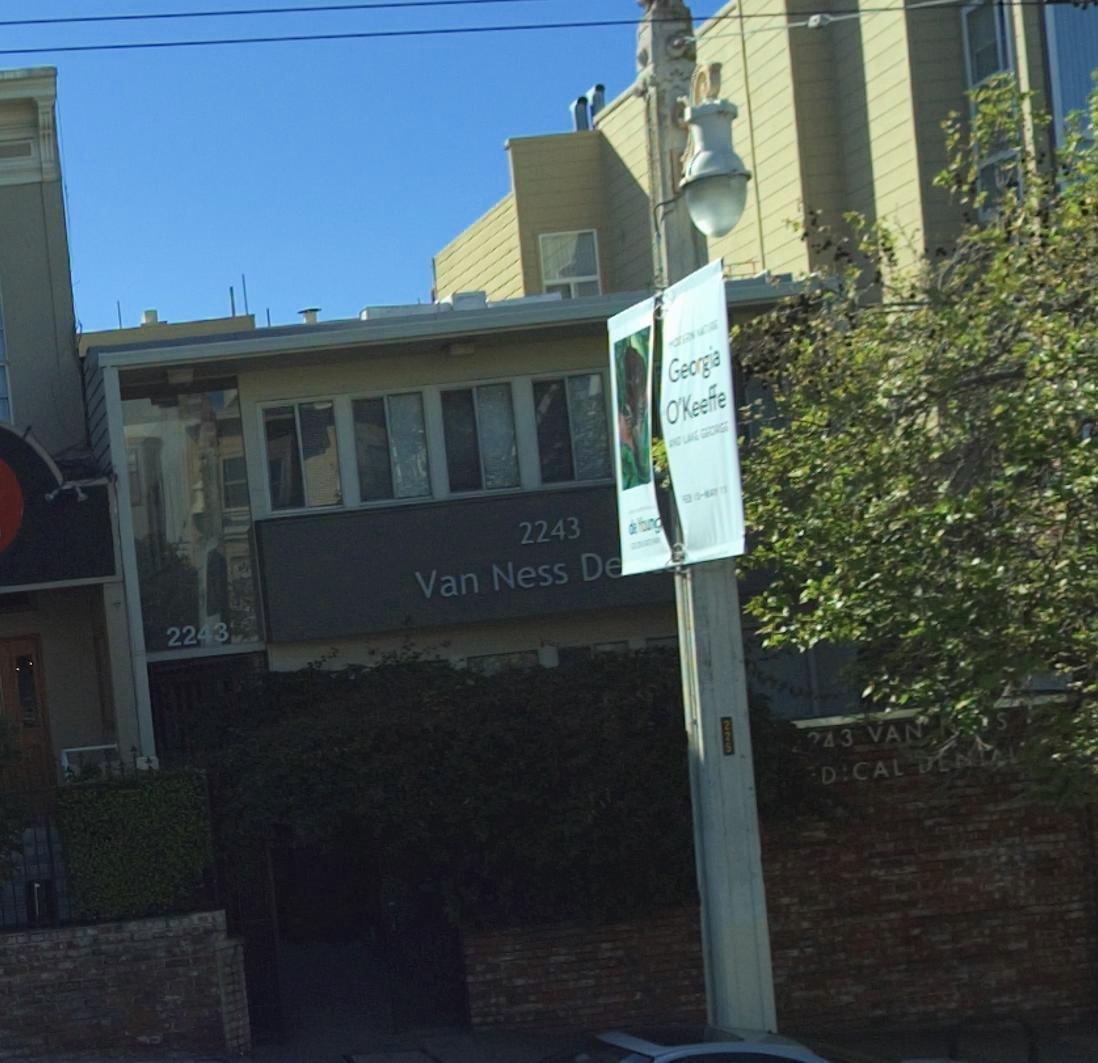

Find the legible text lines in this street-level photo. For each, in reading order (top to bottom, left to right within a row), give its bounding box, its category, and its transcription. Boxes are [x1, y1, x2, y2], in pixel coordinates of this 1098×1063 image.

[666, 344, 722, 384] None: Georgia
[665, 381, 729, 428] None: O'Keeffe
[517, 513, 583, 547] StreetNumber: 2243
[408, 550, 605, 602] BusinessName: Van Ness D
[164, 621, 230, 647] StreetNumber: 2243
[723, 719, 734, 755] None: 225
[839, 726, 854, 750] StreetNumber: 3
[863, 719, 927, 746] StreetName: VAN
[820, 755, 909, 787] None: D*CAL